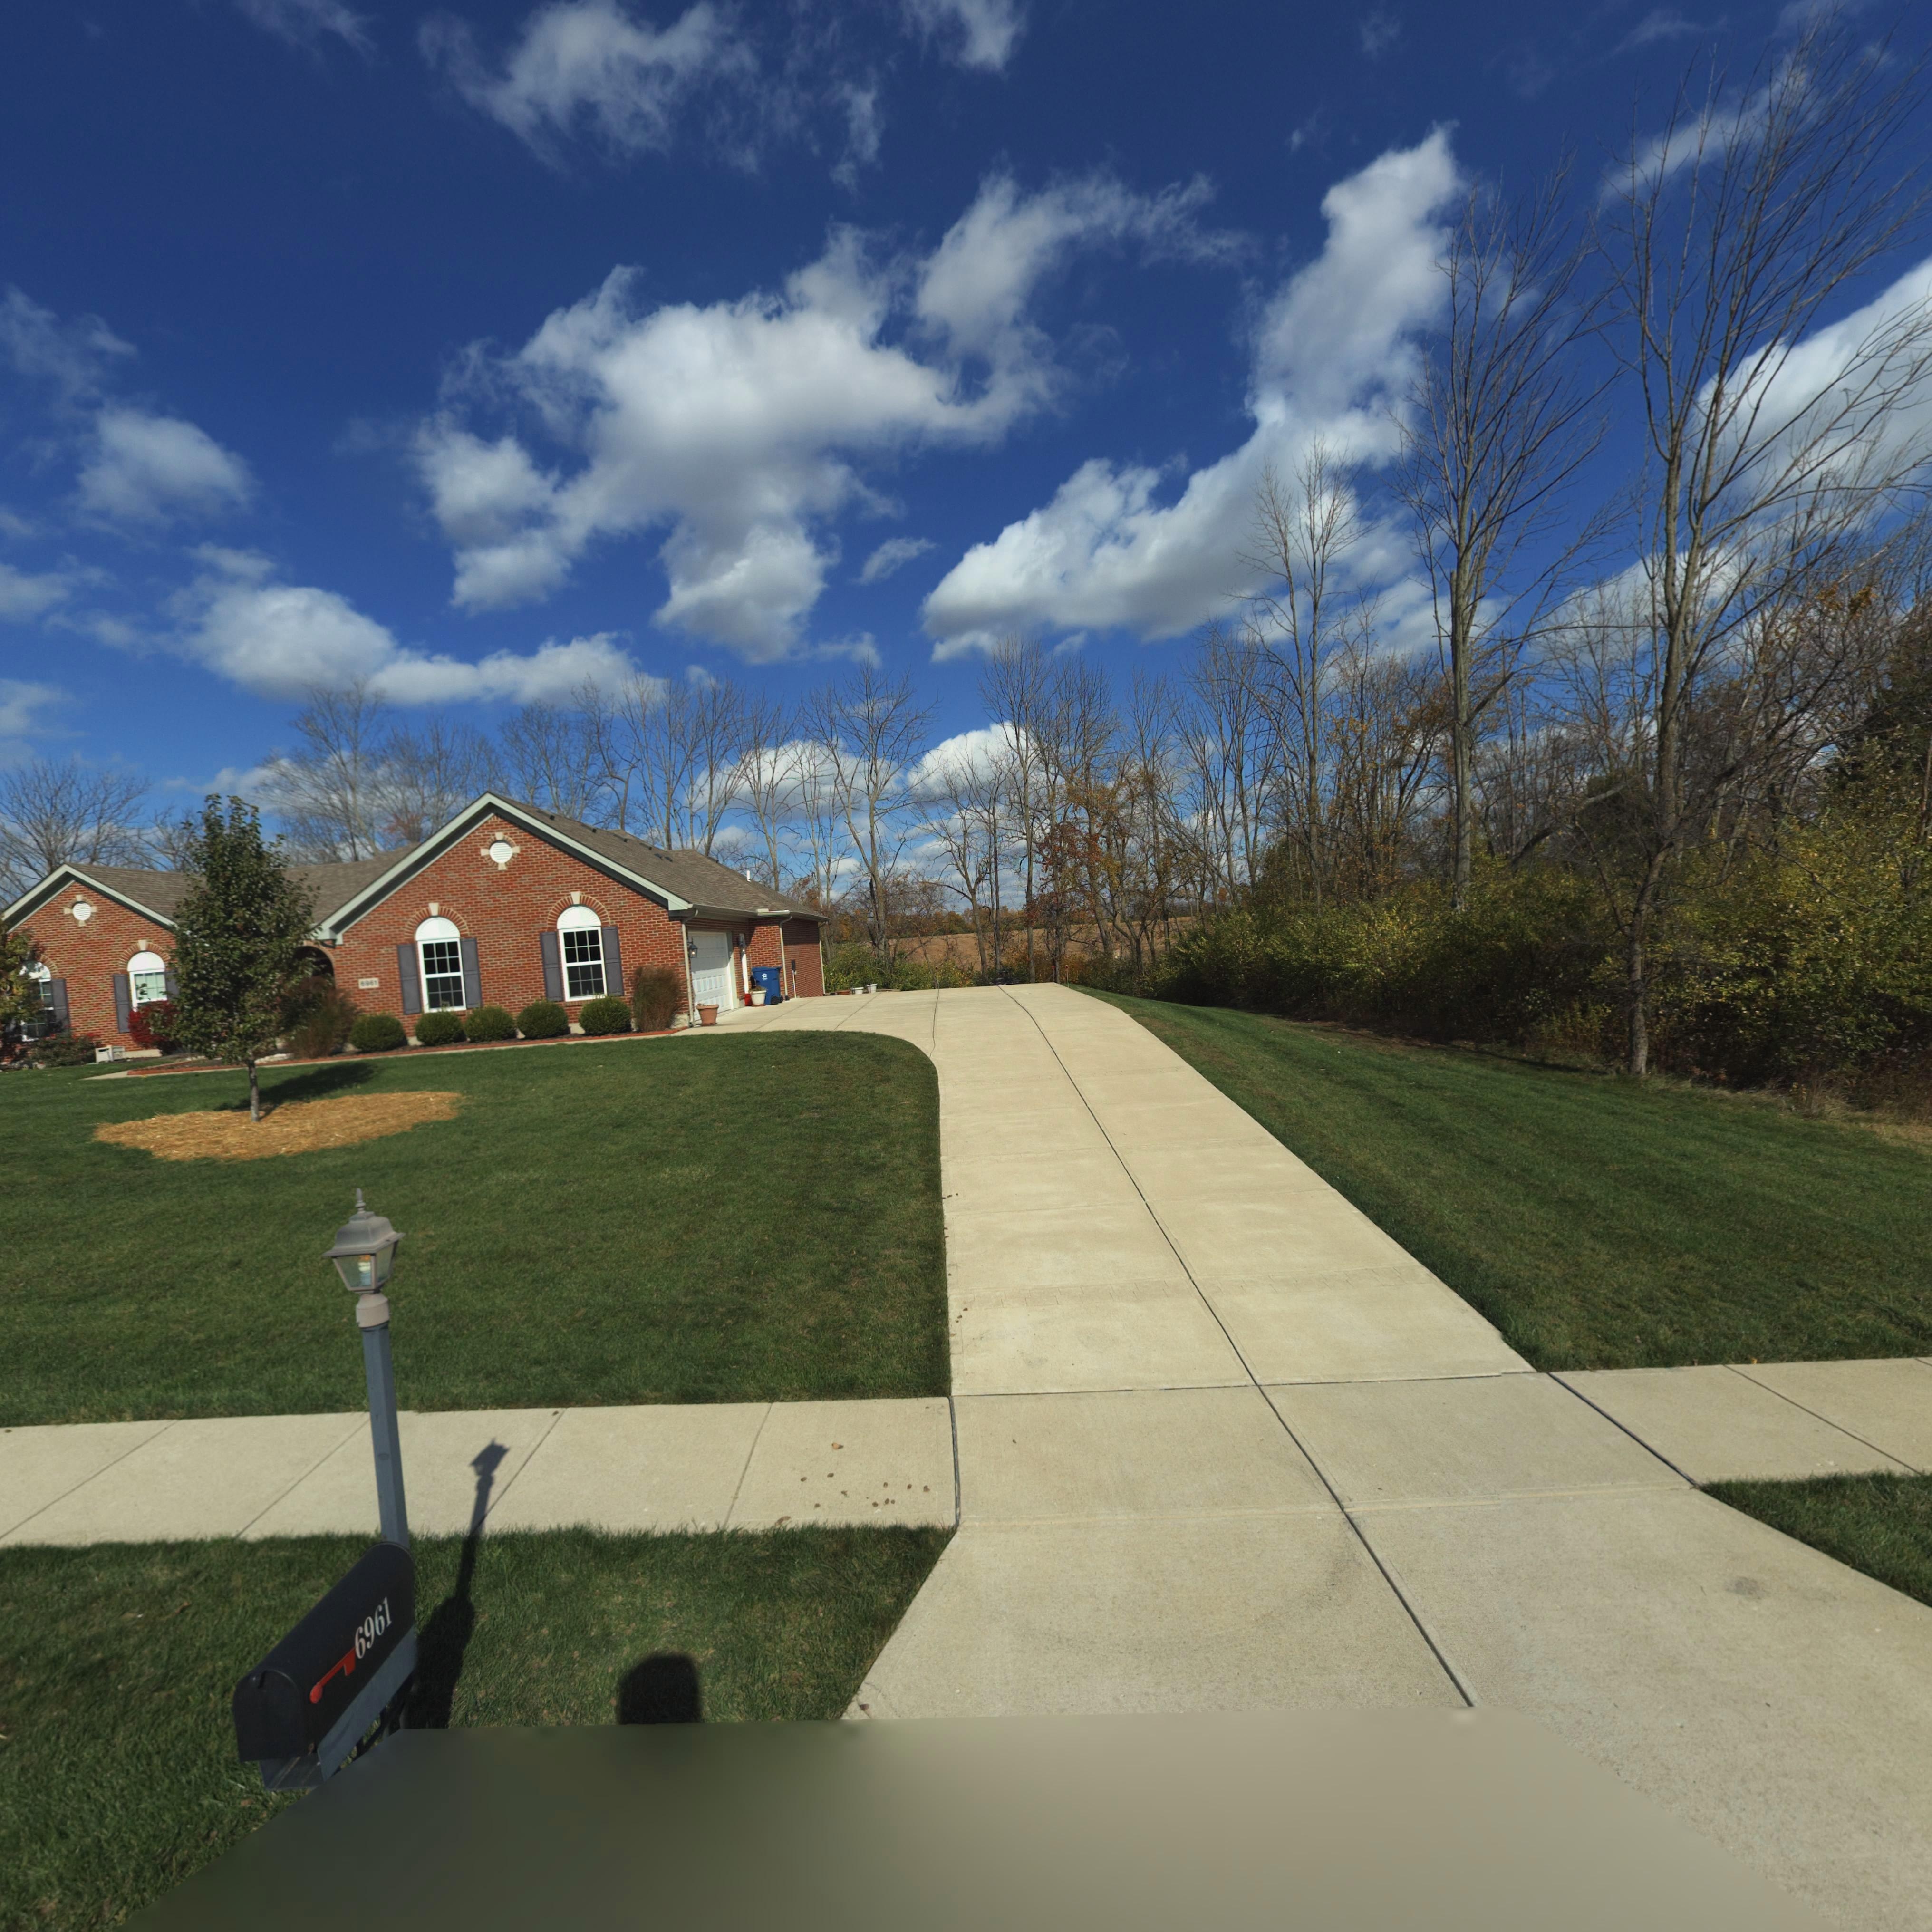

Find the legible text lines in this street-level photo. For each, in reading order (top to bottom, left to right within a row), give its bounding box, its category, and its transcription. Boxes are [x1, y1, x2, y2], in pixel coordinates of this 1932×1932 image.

[360, 979, 378, 987] StreetNumber: 6961
[353, 1594, 394, 1661] StreetNumber: 6961